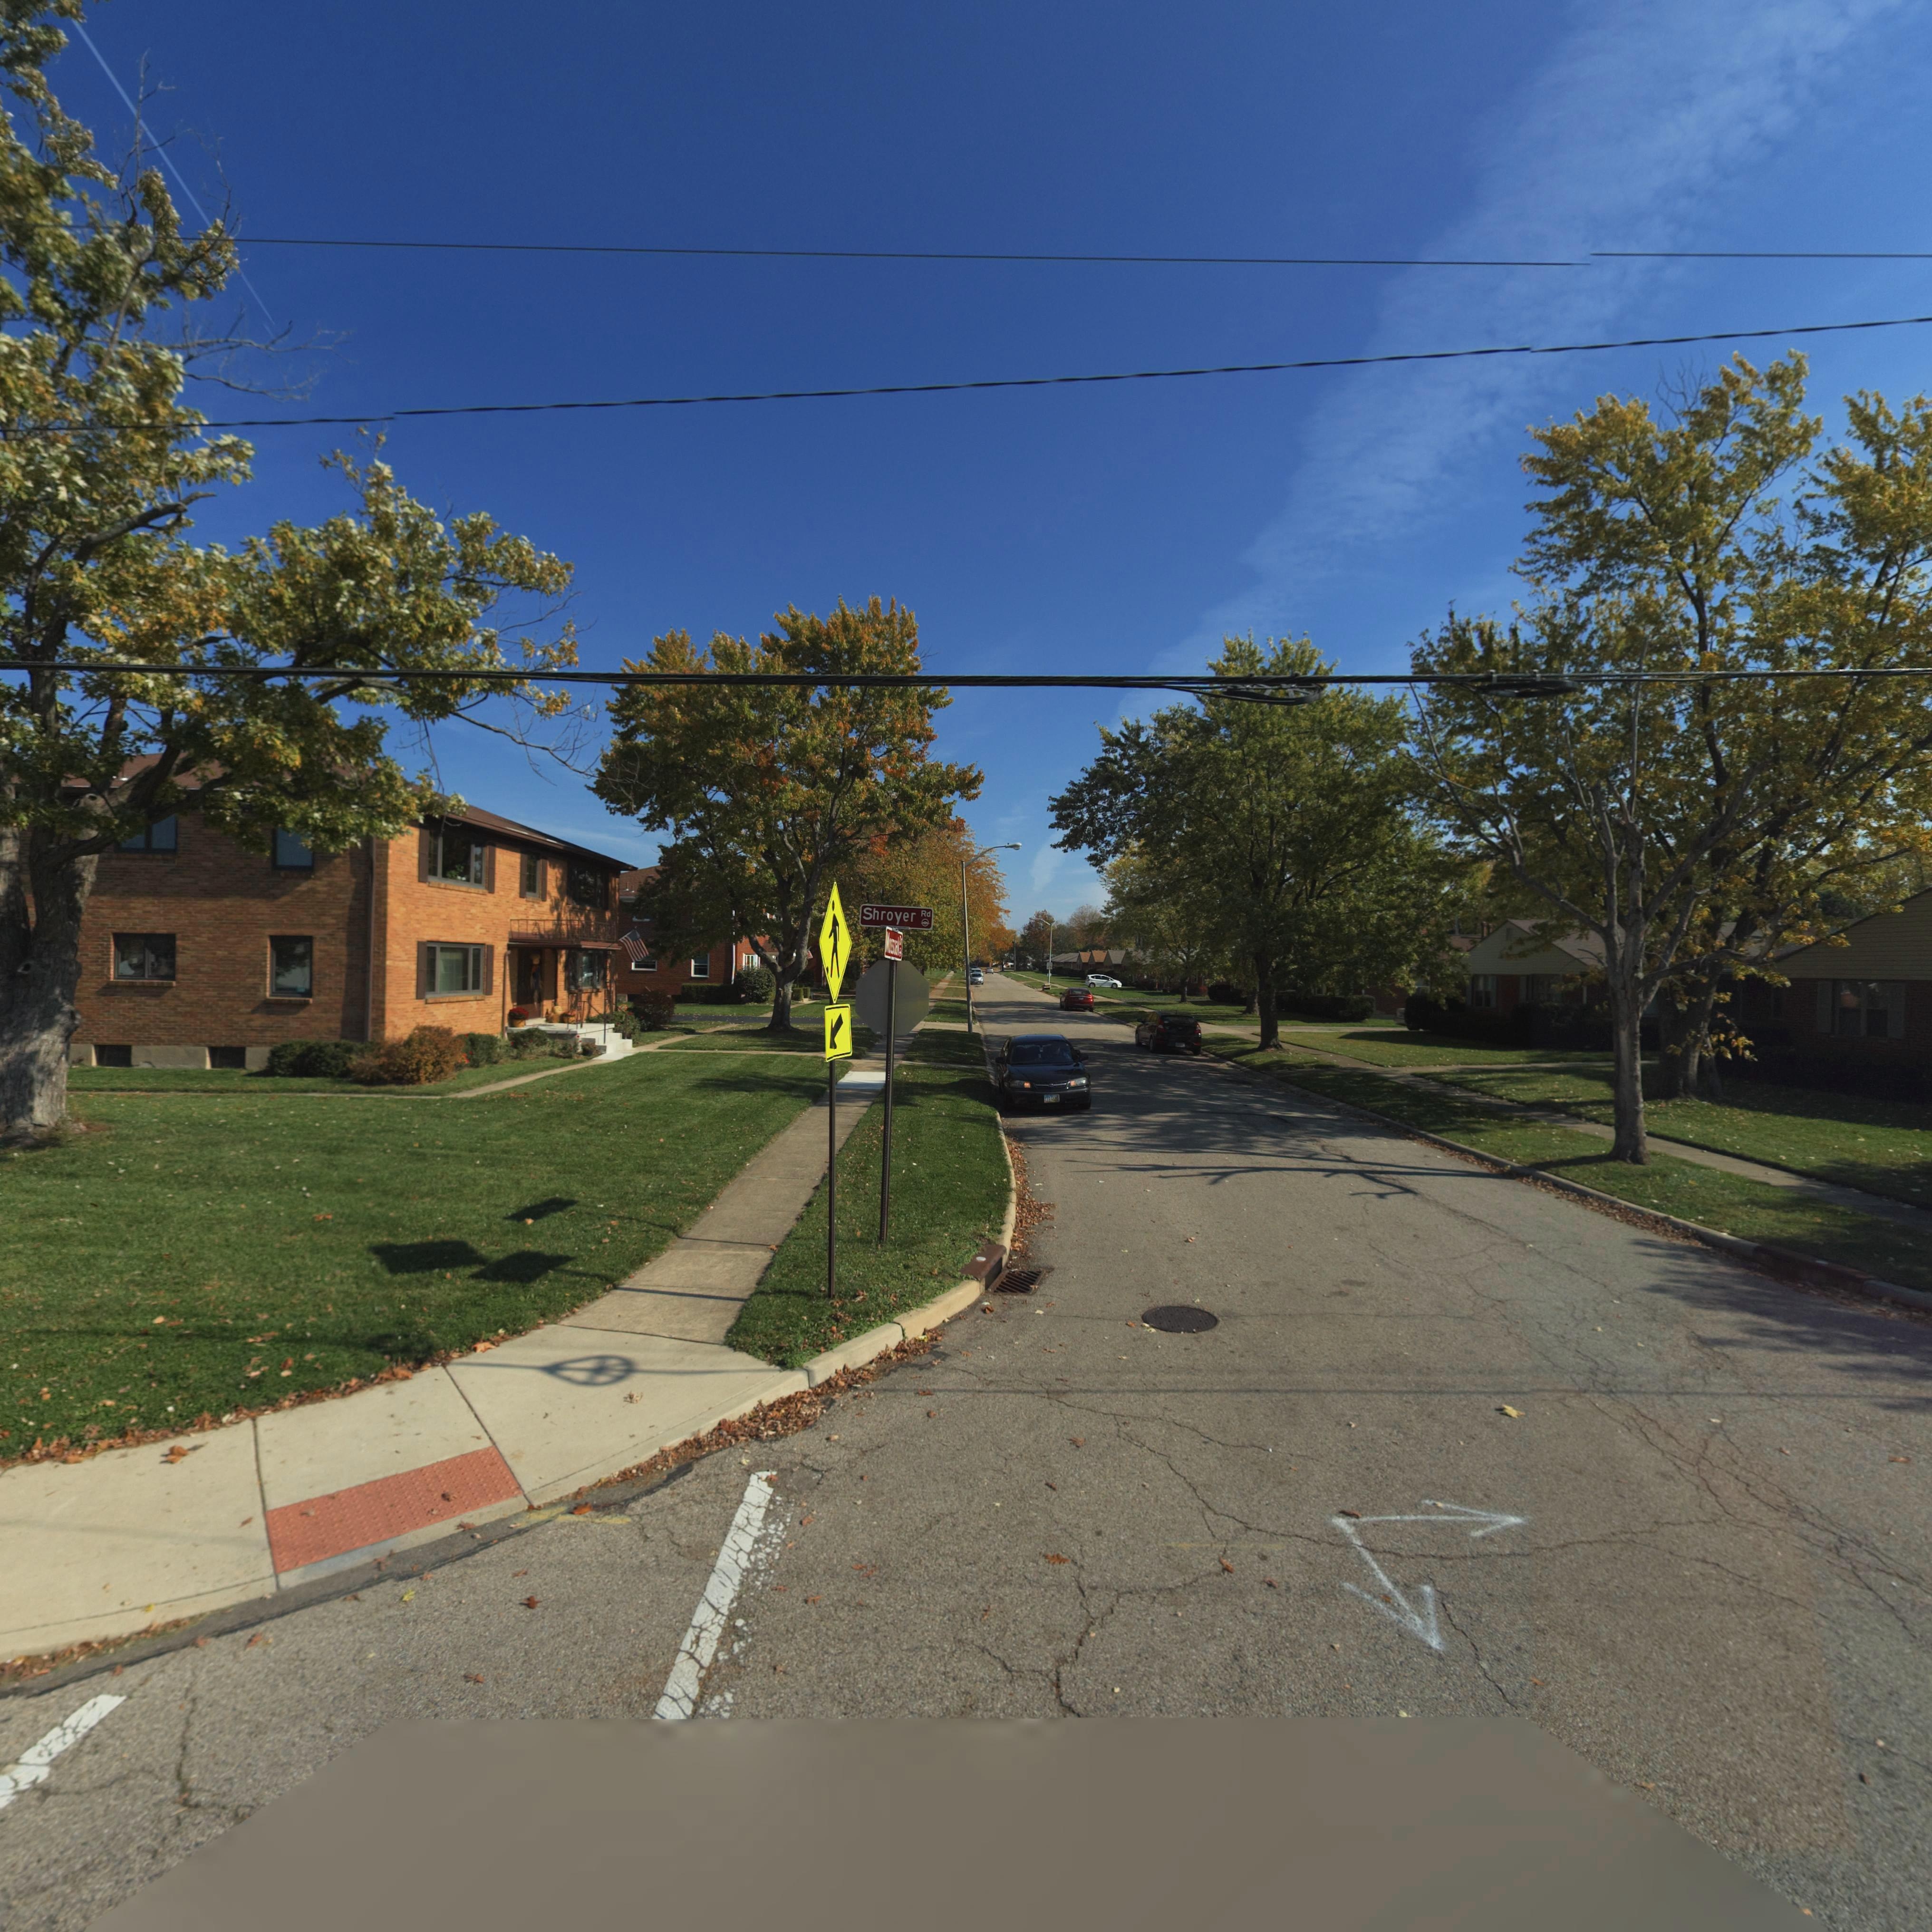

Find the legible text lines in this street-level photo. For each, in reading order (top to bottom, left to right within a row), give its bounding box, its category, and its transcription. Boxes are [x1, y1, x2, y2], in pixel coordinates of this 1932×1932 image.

[862, 907, 931, 926] StreetName: Shroyer Rd
[885, 931, 903, 956] StreetName: M*ss*ak Dr